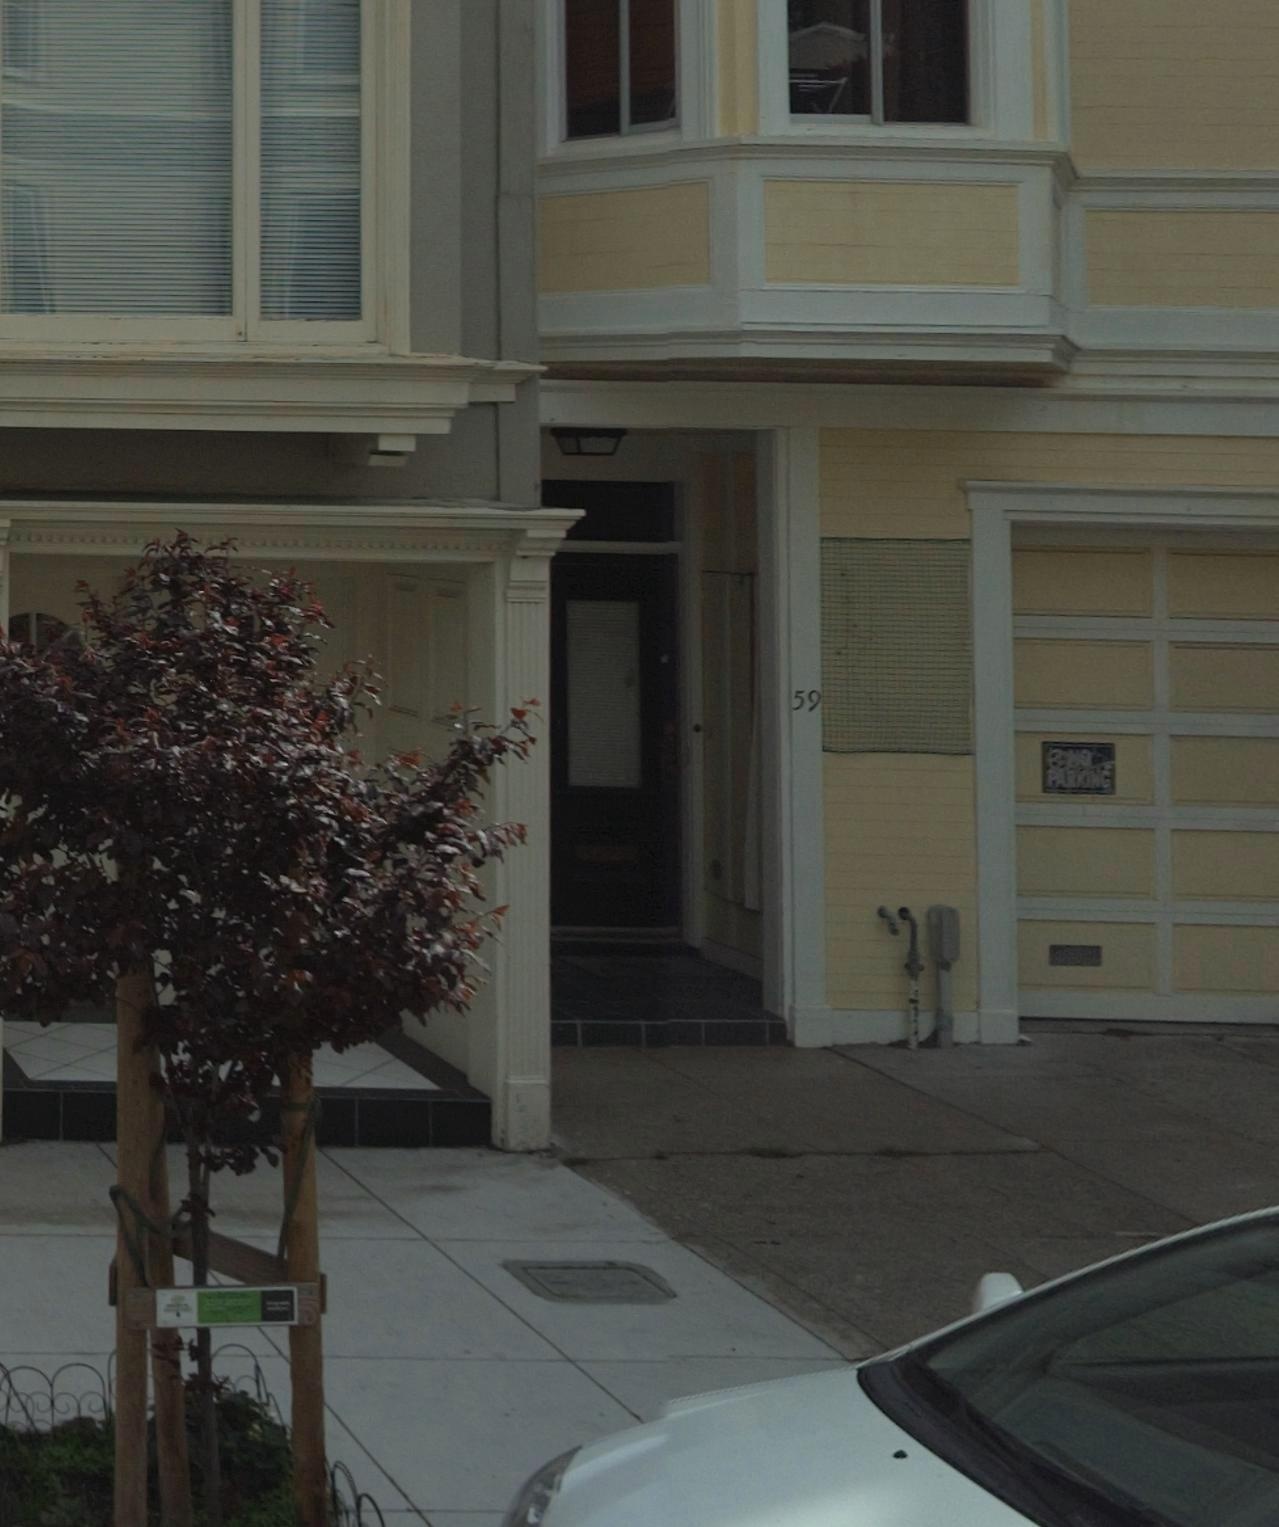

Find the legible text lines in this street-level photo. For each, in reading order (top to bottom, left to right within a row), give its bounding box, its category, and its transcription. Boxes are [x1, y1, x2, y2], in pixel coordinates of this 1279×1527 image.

[791, 688, 822, 714] StreetNumber: 59